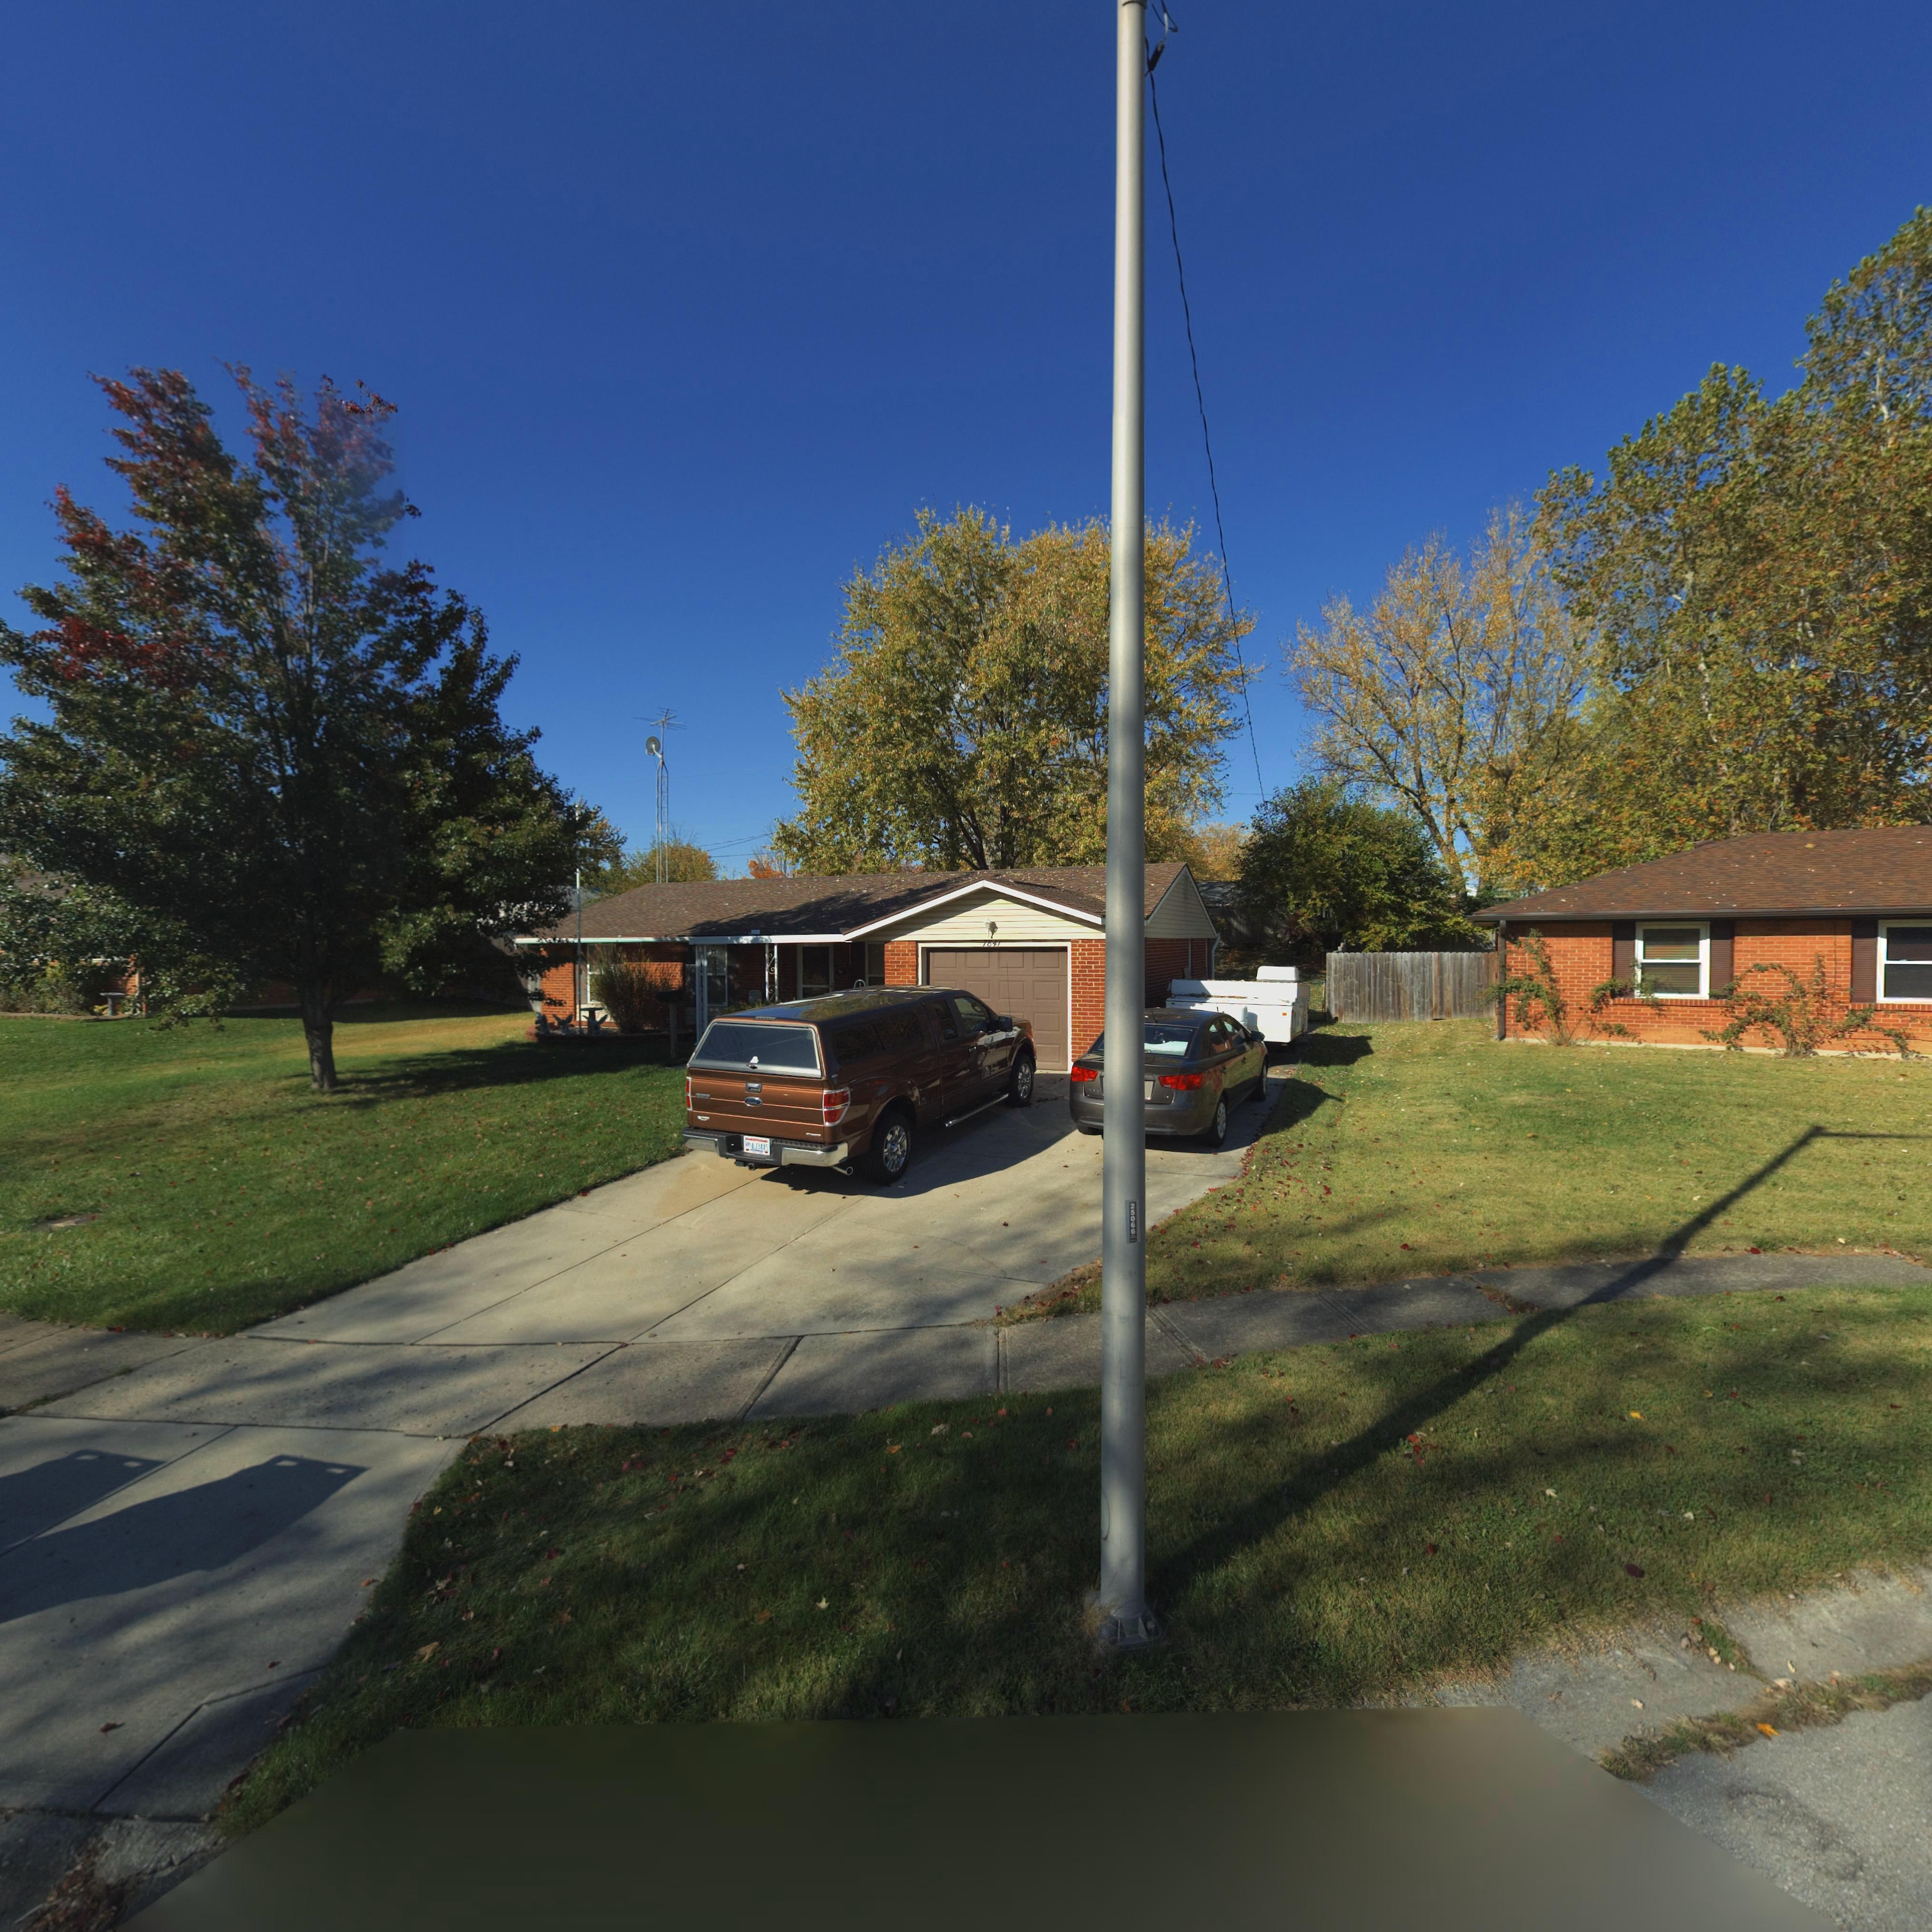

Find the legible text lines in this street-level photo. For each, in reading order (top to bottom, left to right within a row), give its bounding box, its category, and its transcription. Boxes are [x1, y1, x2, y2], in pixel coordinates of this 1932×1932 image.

[982, 939, 1003, 948] StreetNumber: 7841